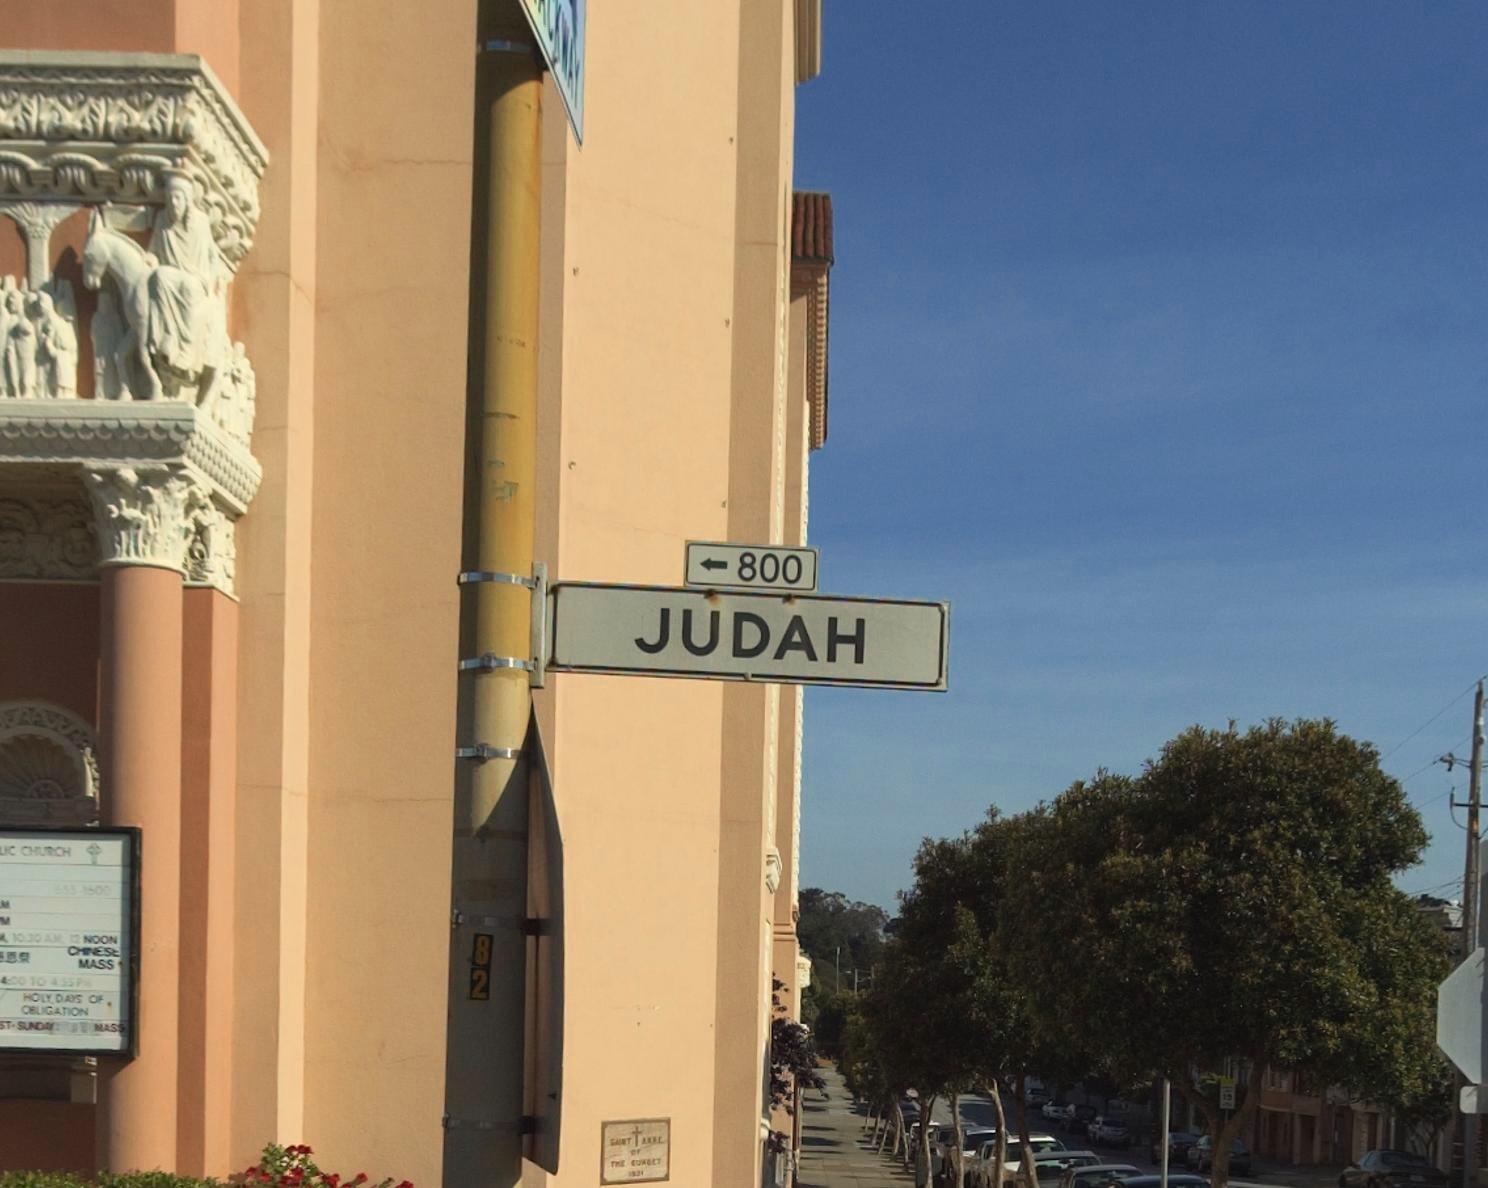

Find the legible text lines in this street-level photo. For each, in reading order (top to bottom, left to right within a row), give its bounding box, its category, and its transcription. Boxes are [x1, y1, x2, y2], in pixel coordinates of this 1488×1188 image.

[552, 2, 583, 117] StreetName: KWAY
[697, 548, 804, 587] StreetNumberRange: <-800
[632, 604, 866, 666] StreetName: JUDAH
[7, 844, 74, 858] None: C CHURCH
[87, 883, 111, 897] None: 600
[11, 930, 118, 947] None: 10:30A.M 12NOON
[66, 945, 122, 958] None: CHINESE
[76, 957, 116, 972] None: MASS
[468, 933, 492, 1002] None: 82
[1, 974, 94, 990] None: 4*00 TO 4:55PM
[21, 990, 104, 1006] None: HOLY DAY OF
[18, 1002, 90, 1018] None: OBLIGATION
[0, 1019, 54, 1033] None: ST*SUNDAY
[92, 1022, 125, 1035] None: MASS
[641, 1135, 663, 1145] None: ANNE